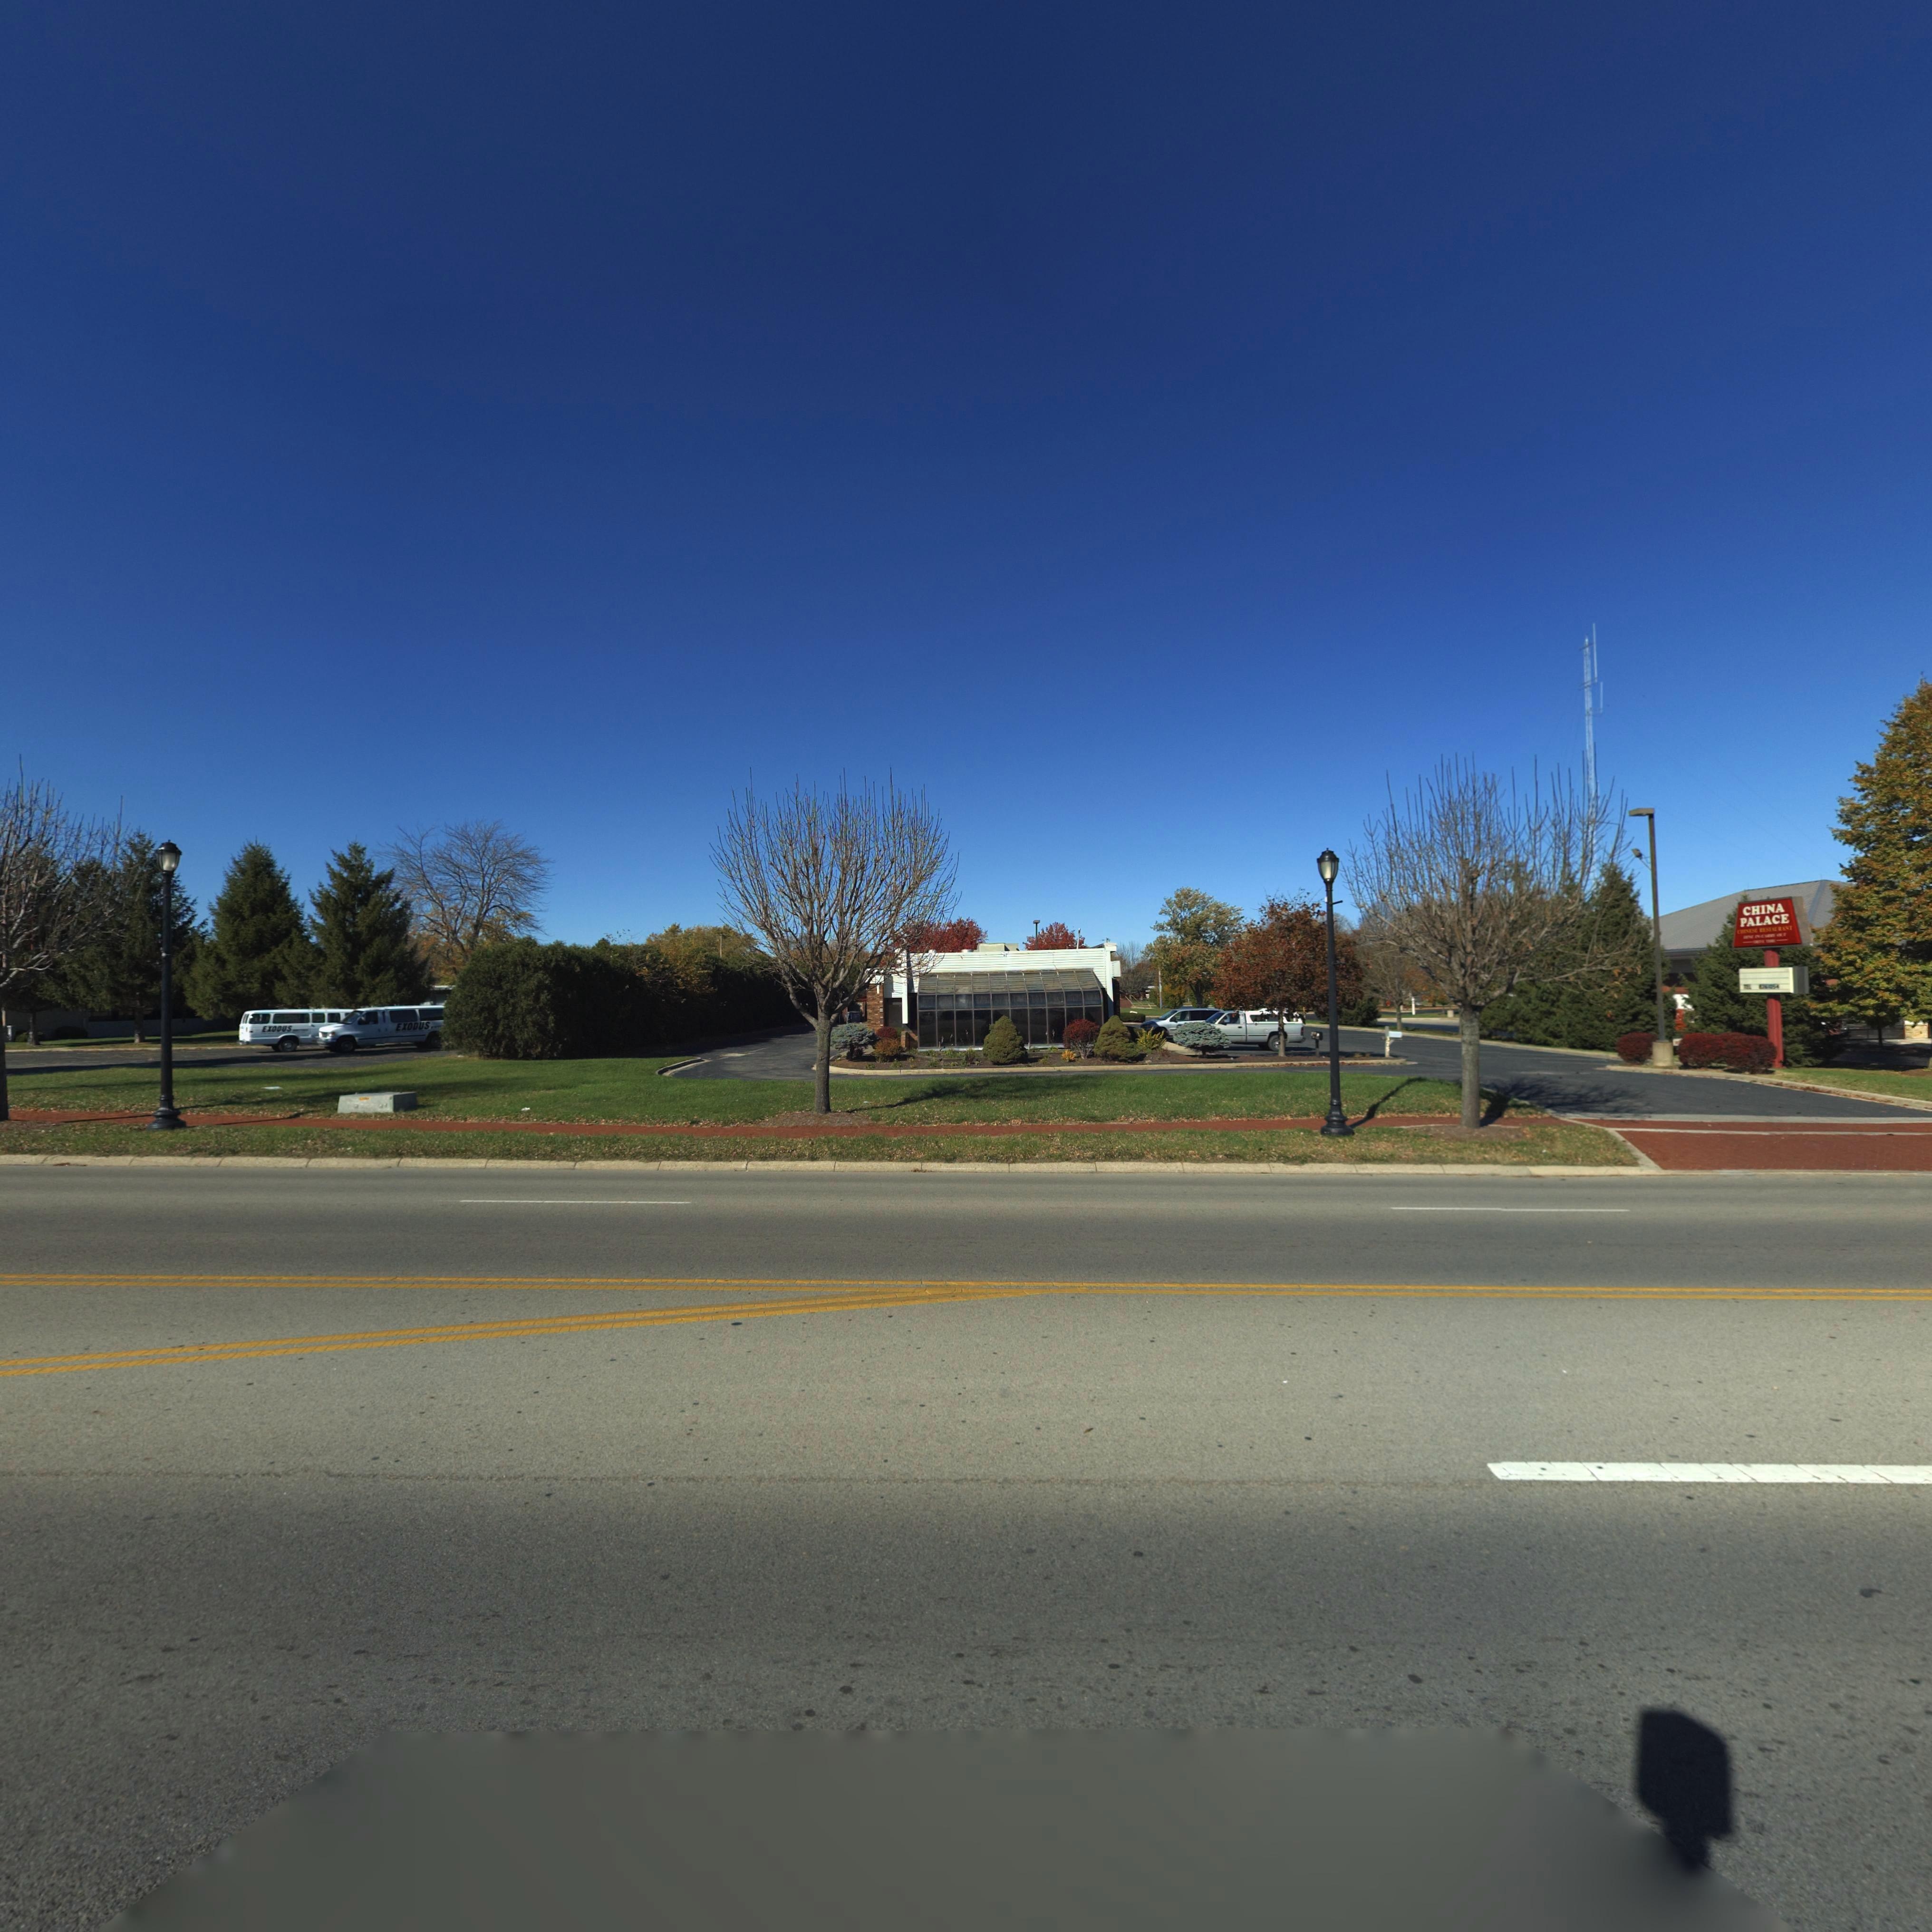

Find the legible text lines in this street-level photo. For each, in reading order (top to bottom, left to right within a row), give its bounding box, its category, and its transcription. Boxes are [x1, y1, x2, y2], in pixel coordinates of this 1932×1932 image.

[1742, 902, 1787, 917] BusinessName: CHINA
[1739, 913, 1790, 928] BusinessName: PALACE
[1736, 924, 1794, 935] None: CHINESE RESTAURANT
[261, 1025, 293, 1033] BusinessName: EXODUS
[394, 1021, 431, 1032] BusinessName: EXODUS
[1385, 1035, 1391, 1053] StreetNumber: *7*